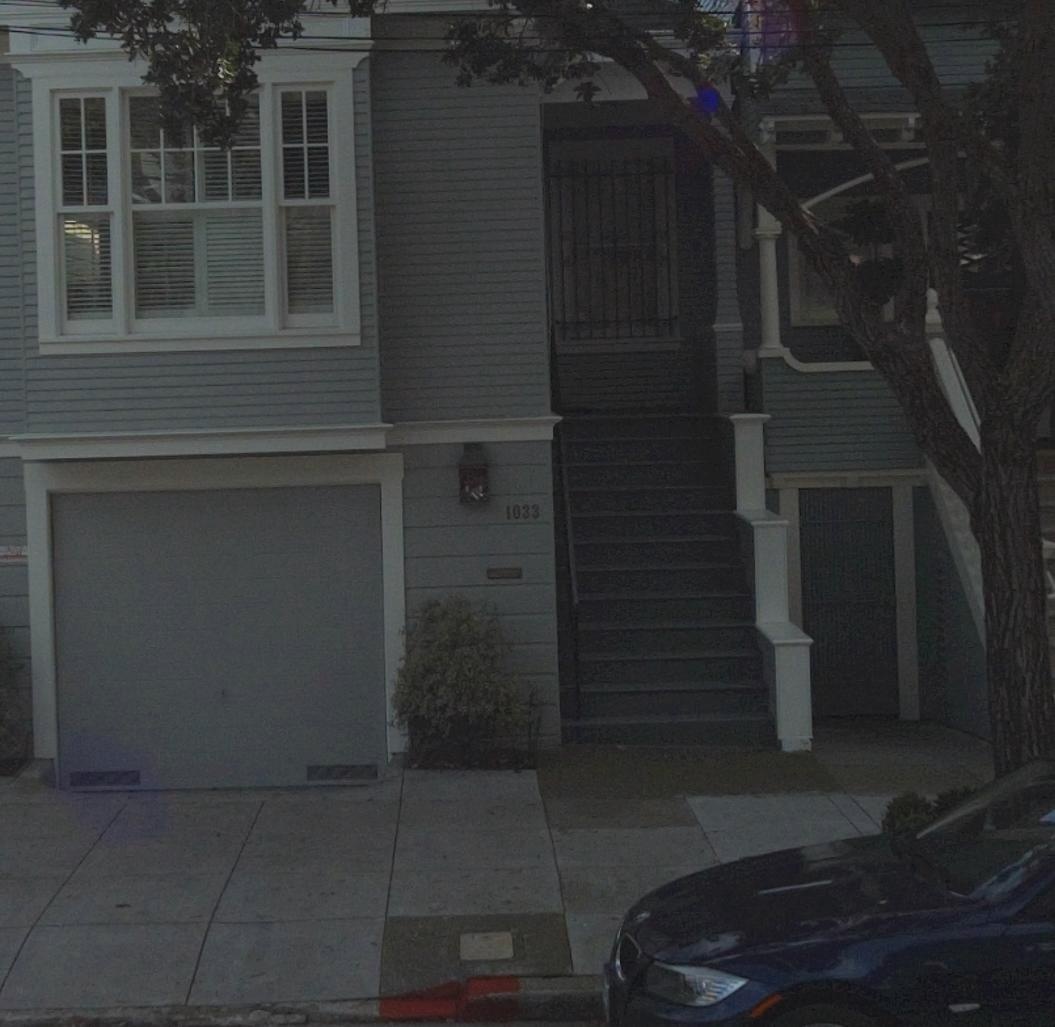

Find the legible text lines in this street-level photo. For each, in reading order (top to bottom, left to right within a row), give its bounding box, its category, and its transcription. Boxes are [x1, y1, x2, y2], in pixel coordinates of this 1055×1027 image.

[504, 503, 541, 521] StreetNumber: 1033